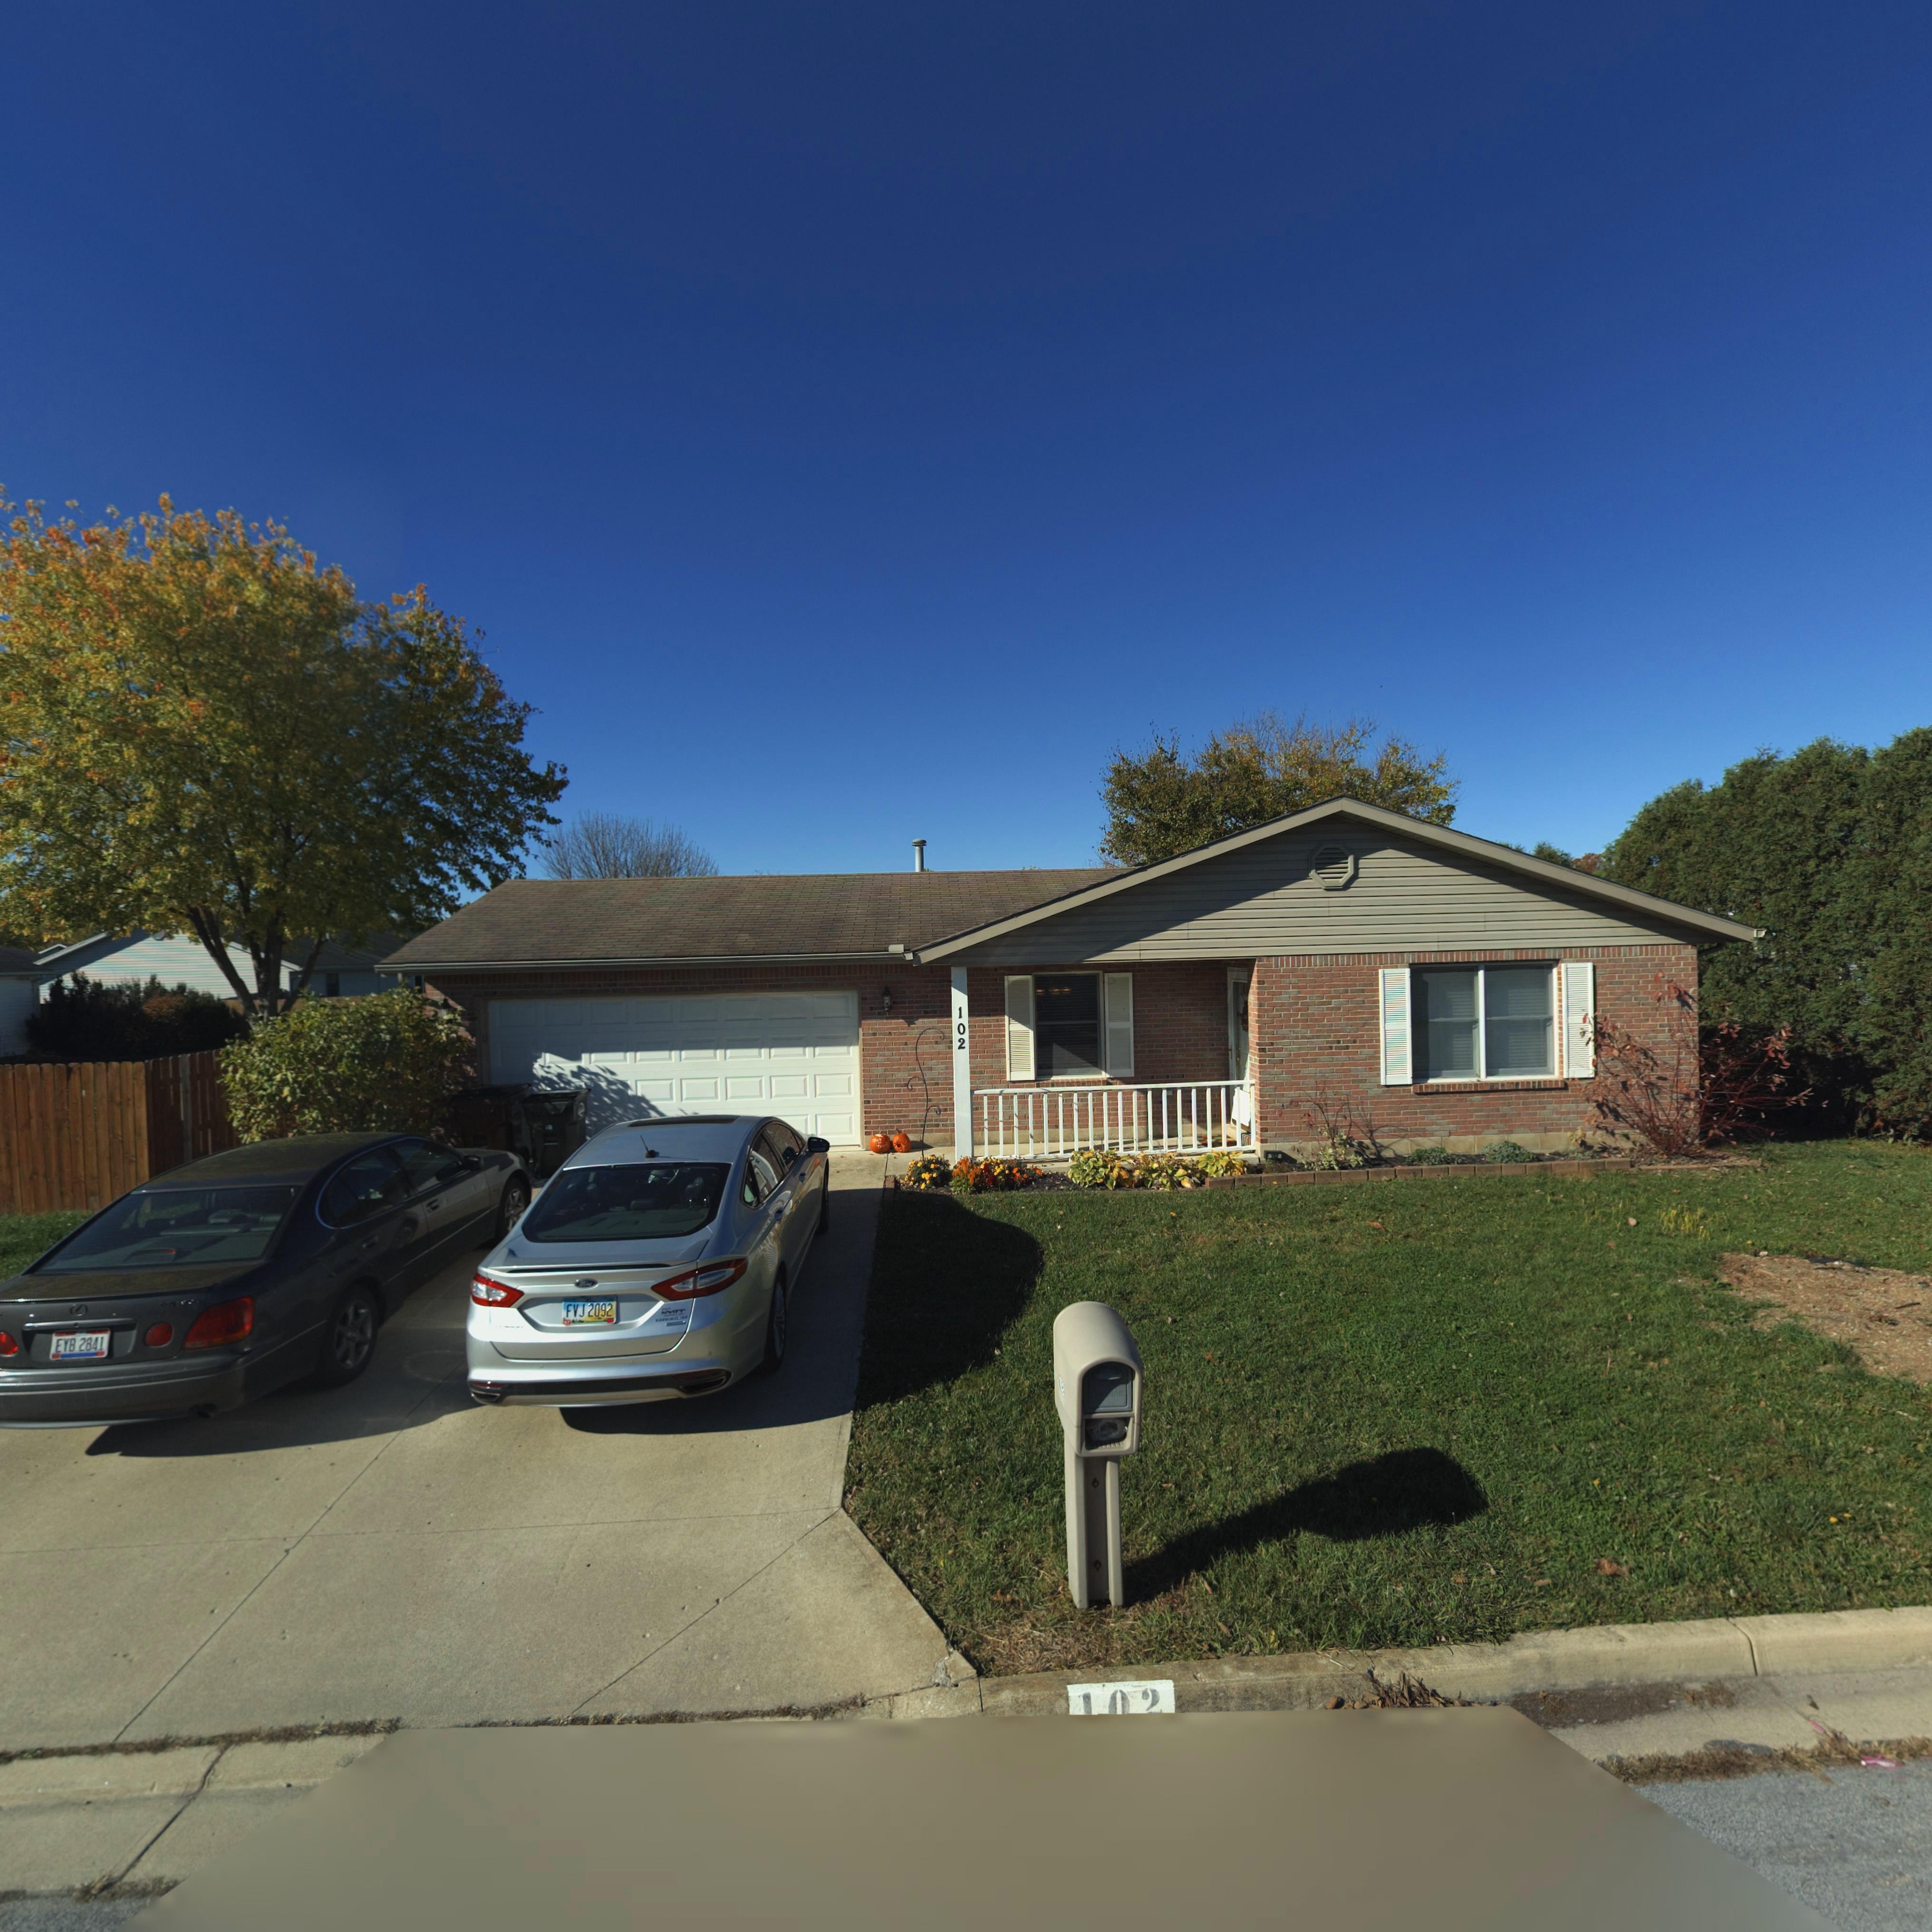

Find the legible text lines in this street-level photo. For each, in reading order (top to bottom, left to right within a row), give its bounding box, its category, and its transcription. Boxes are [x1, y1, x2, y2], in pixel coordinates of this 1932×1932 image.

[955, 1005, 966, 1050] StreetNumber: 102
[1076, 1686, 1164, 1717] StreetNumber: 102